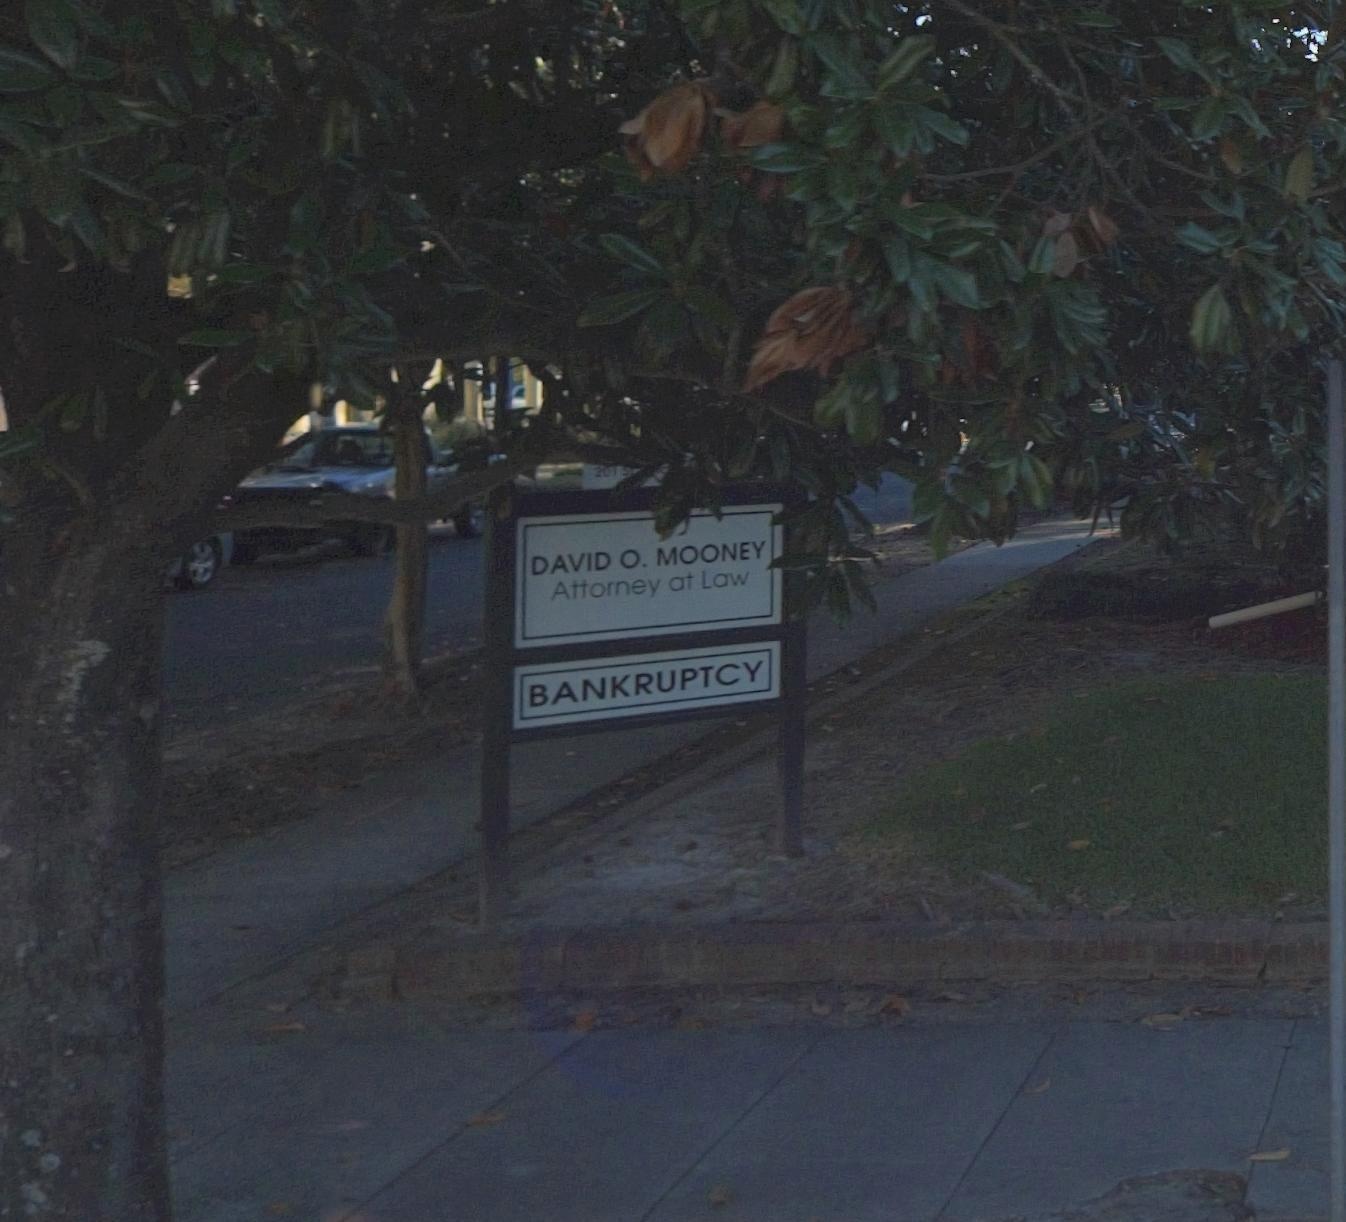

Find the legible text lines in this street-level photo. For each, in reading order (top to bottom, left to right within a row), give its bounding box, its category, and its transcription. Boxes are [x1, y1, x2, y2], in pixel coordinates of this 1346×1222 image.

[593, 464, 619, 481] StreetNumber: 20*
[528, 537, 769, 579] BusinessName: DAVID O. MOONEY
[546, 566, 753, 604] BusinessName: Attorney at Law
[526, 657, 768, 711] None: BANKRUPTCY